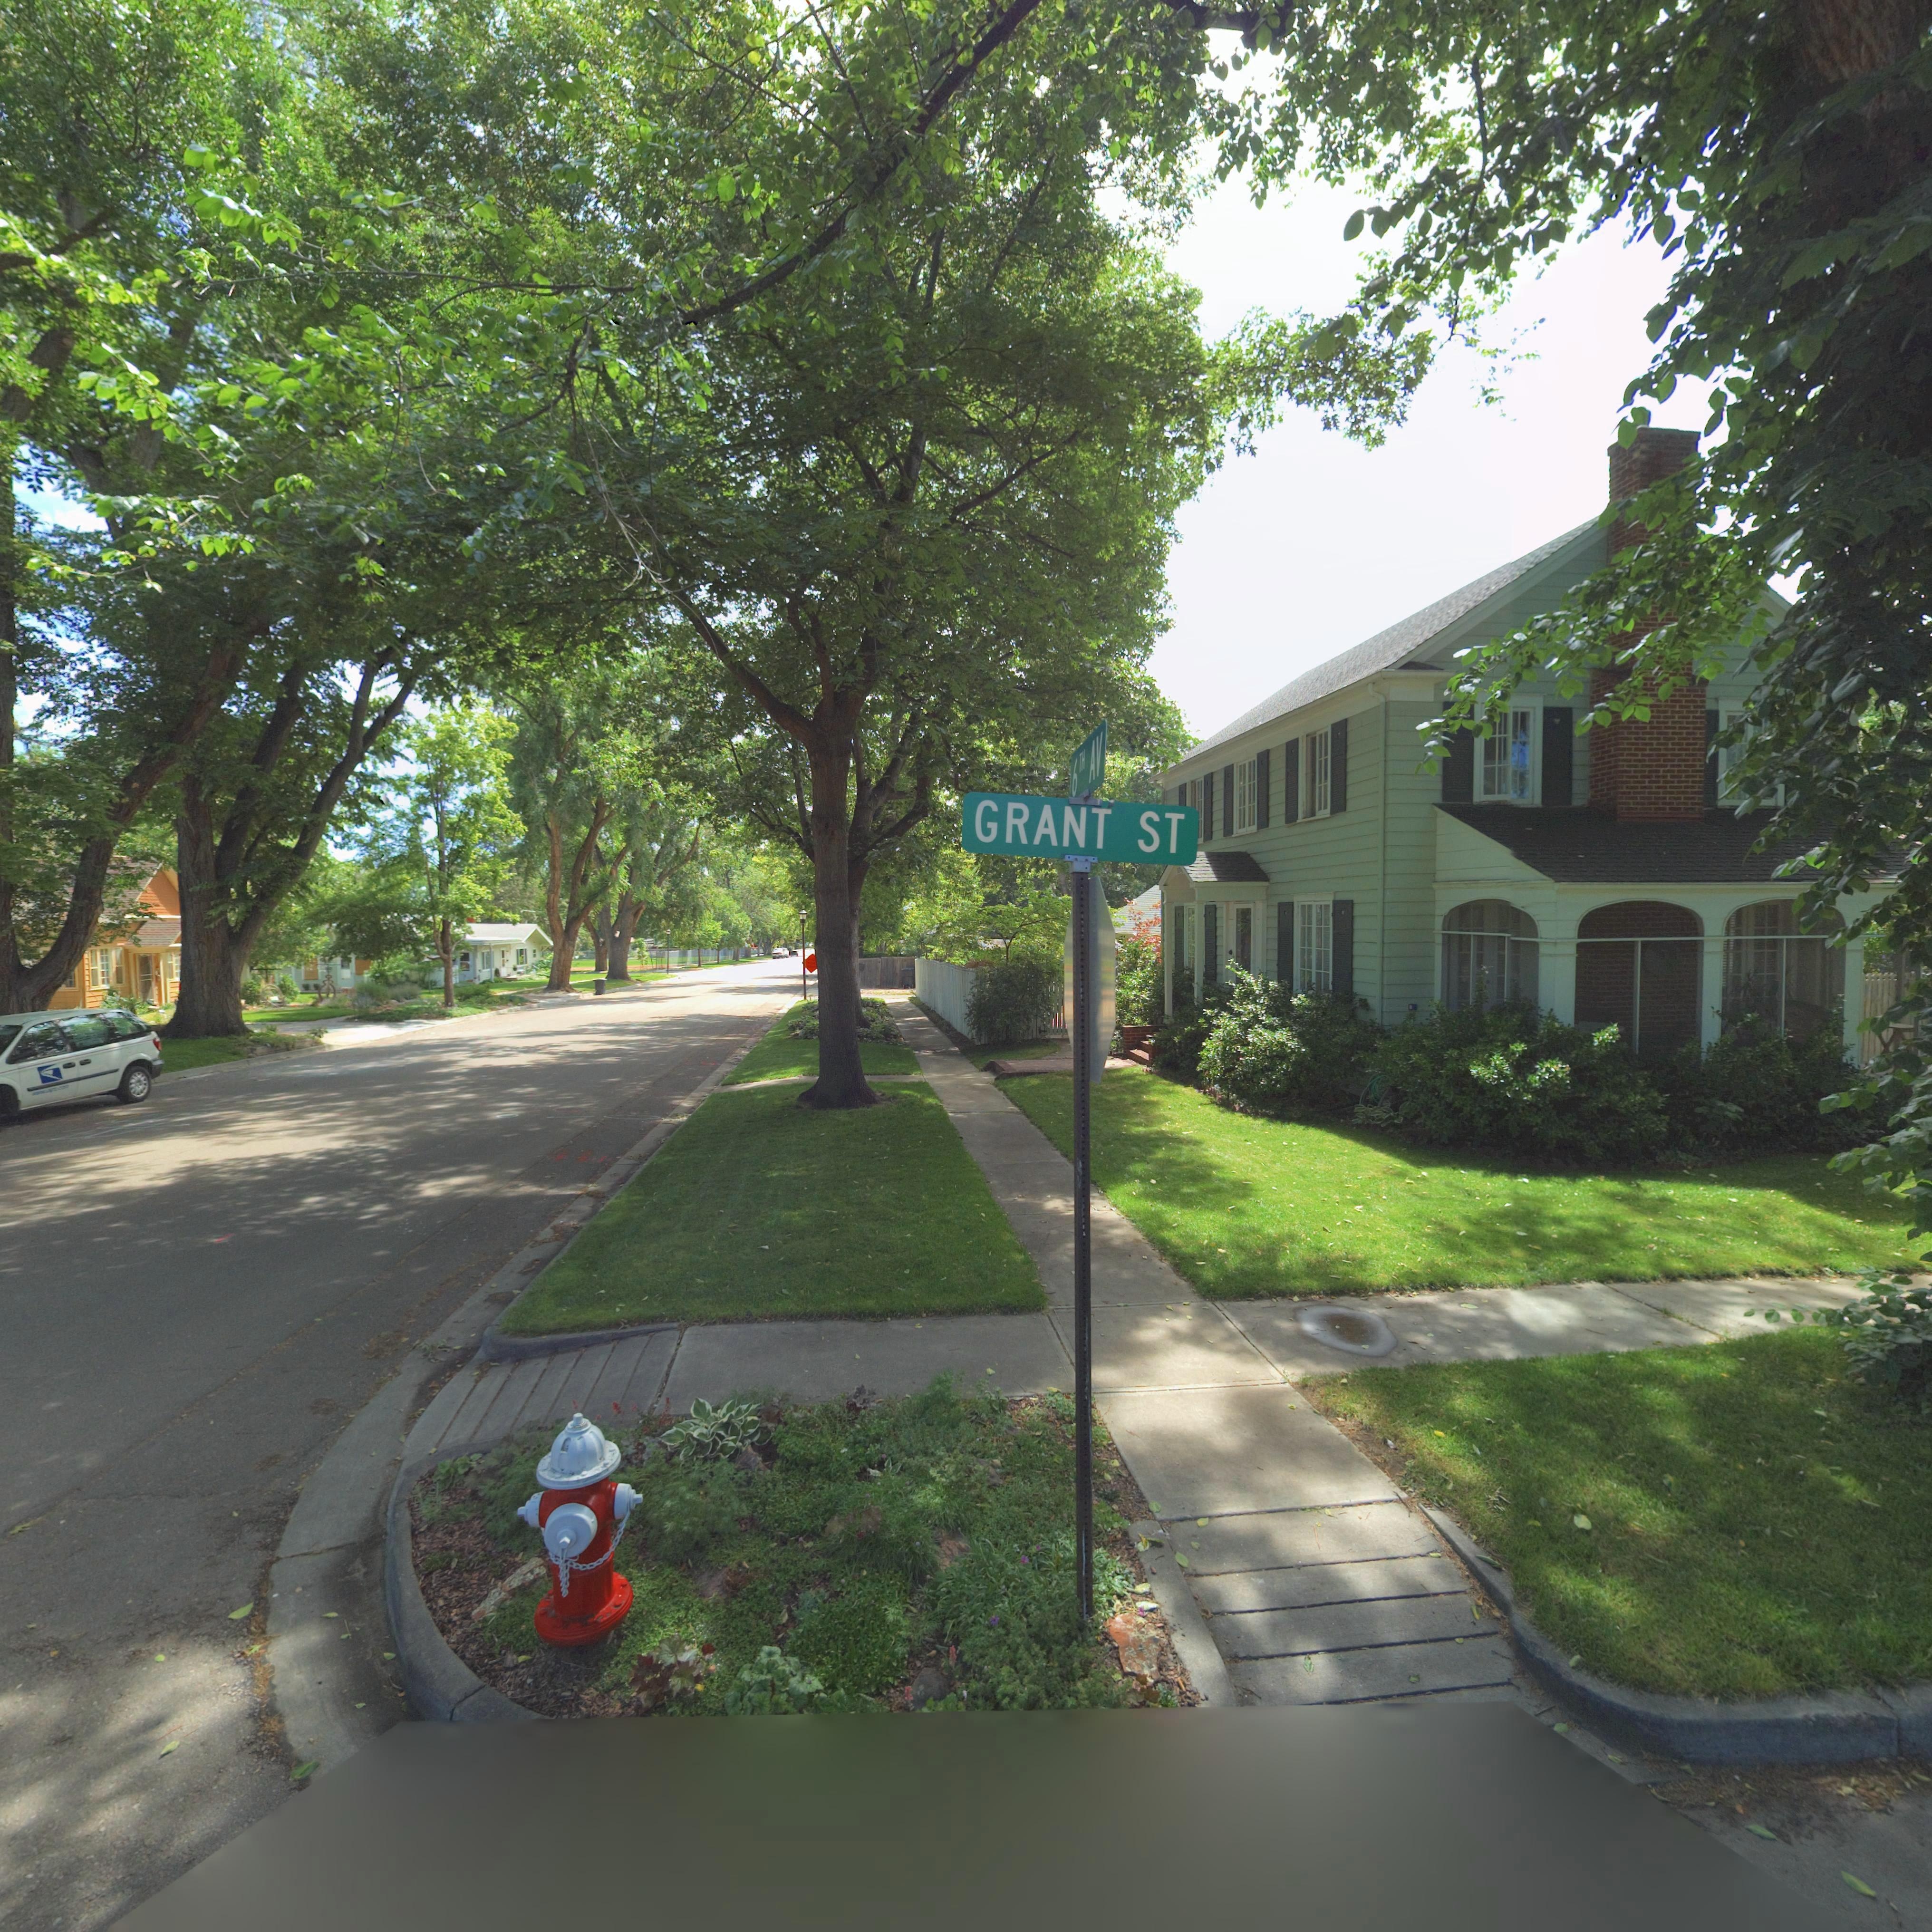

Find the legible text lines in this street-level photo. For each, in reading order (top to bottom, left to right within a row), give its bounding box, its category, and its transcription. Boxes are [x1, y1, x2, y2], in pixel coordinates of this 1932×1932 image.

[1071, 730, 1103, 797] StreetName: 6TH AV
[975, 800, 1186, 853] StreetName: GRANT ST